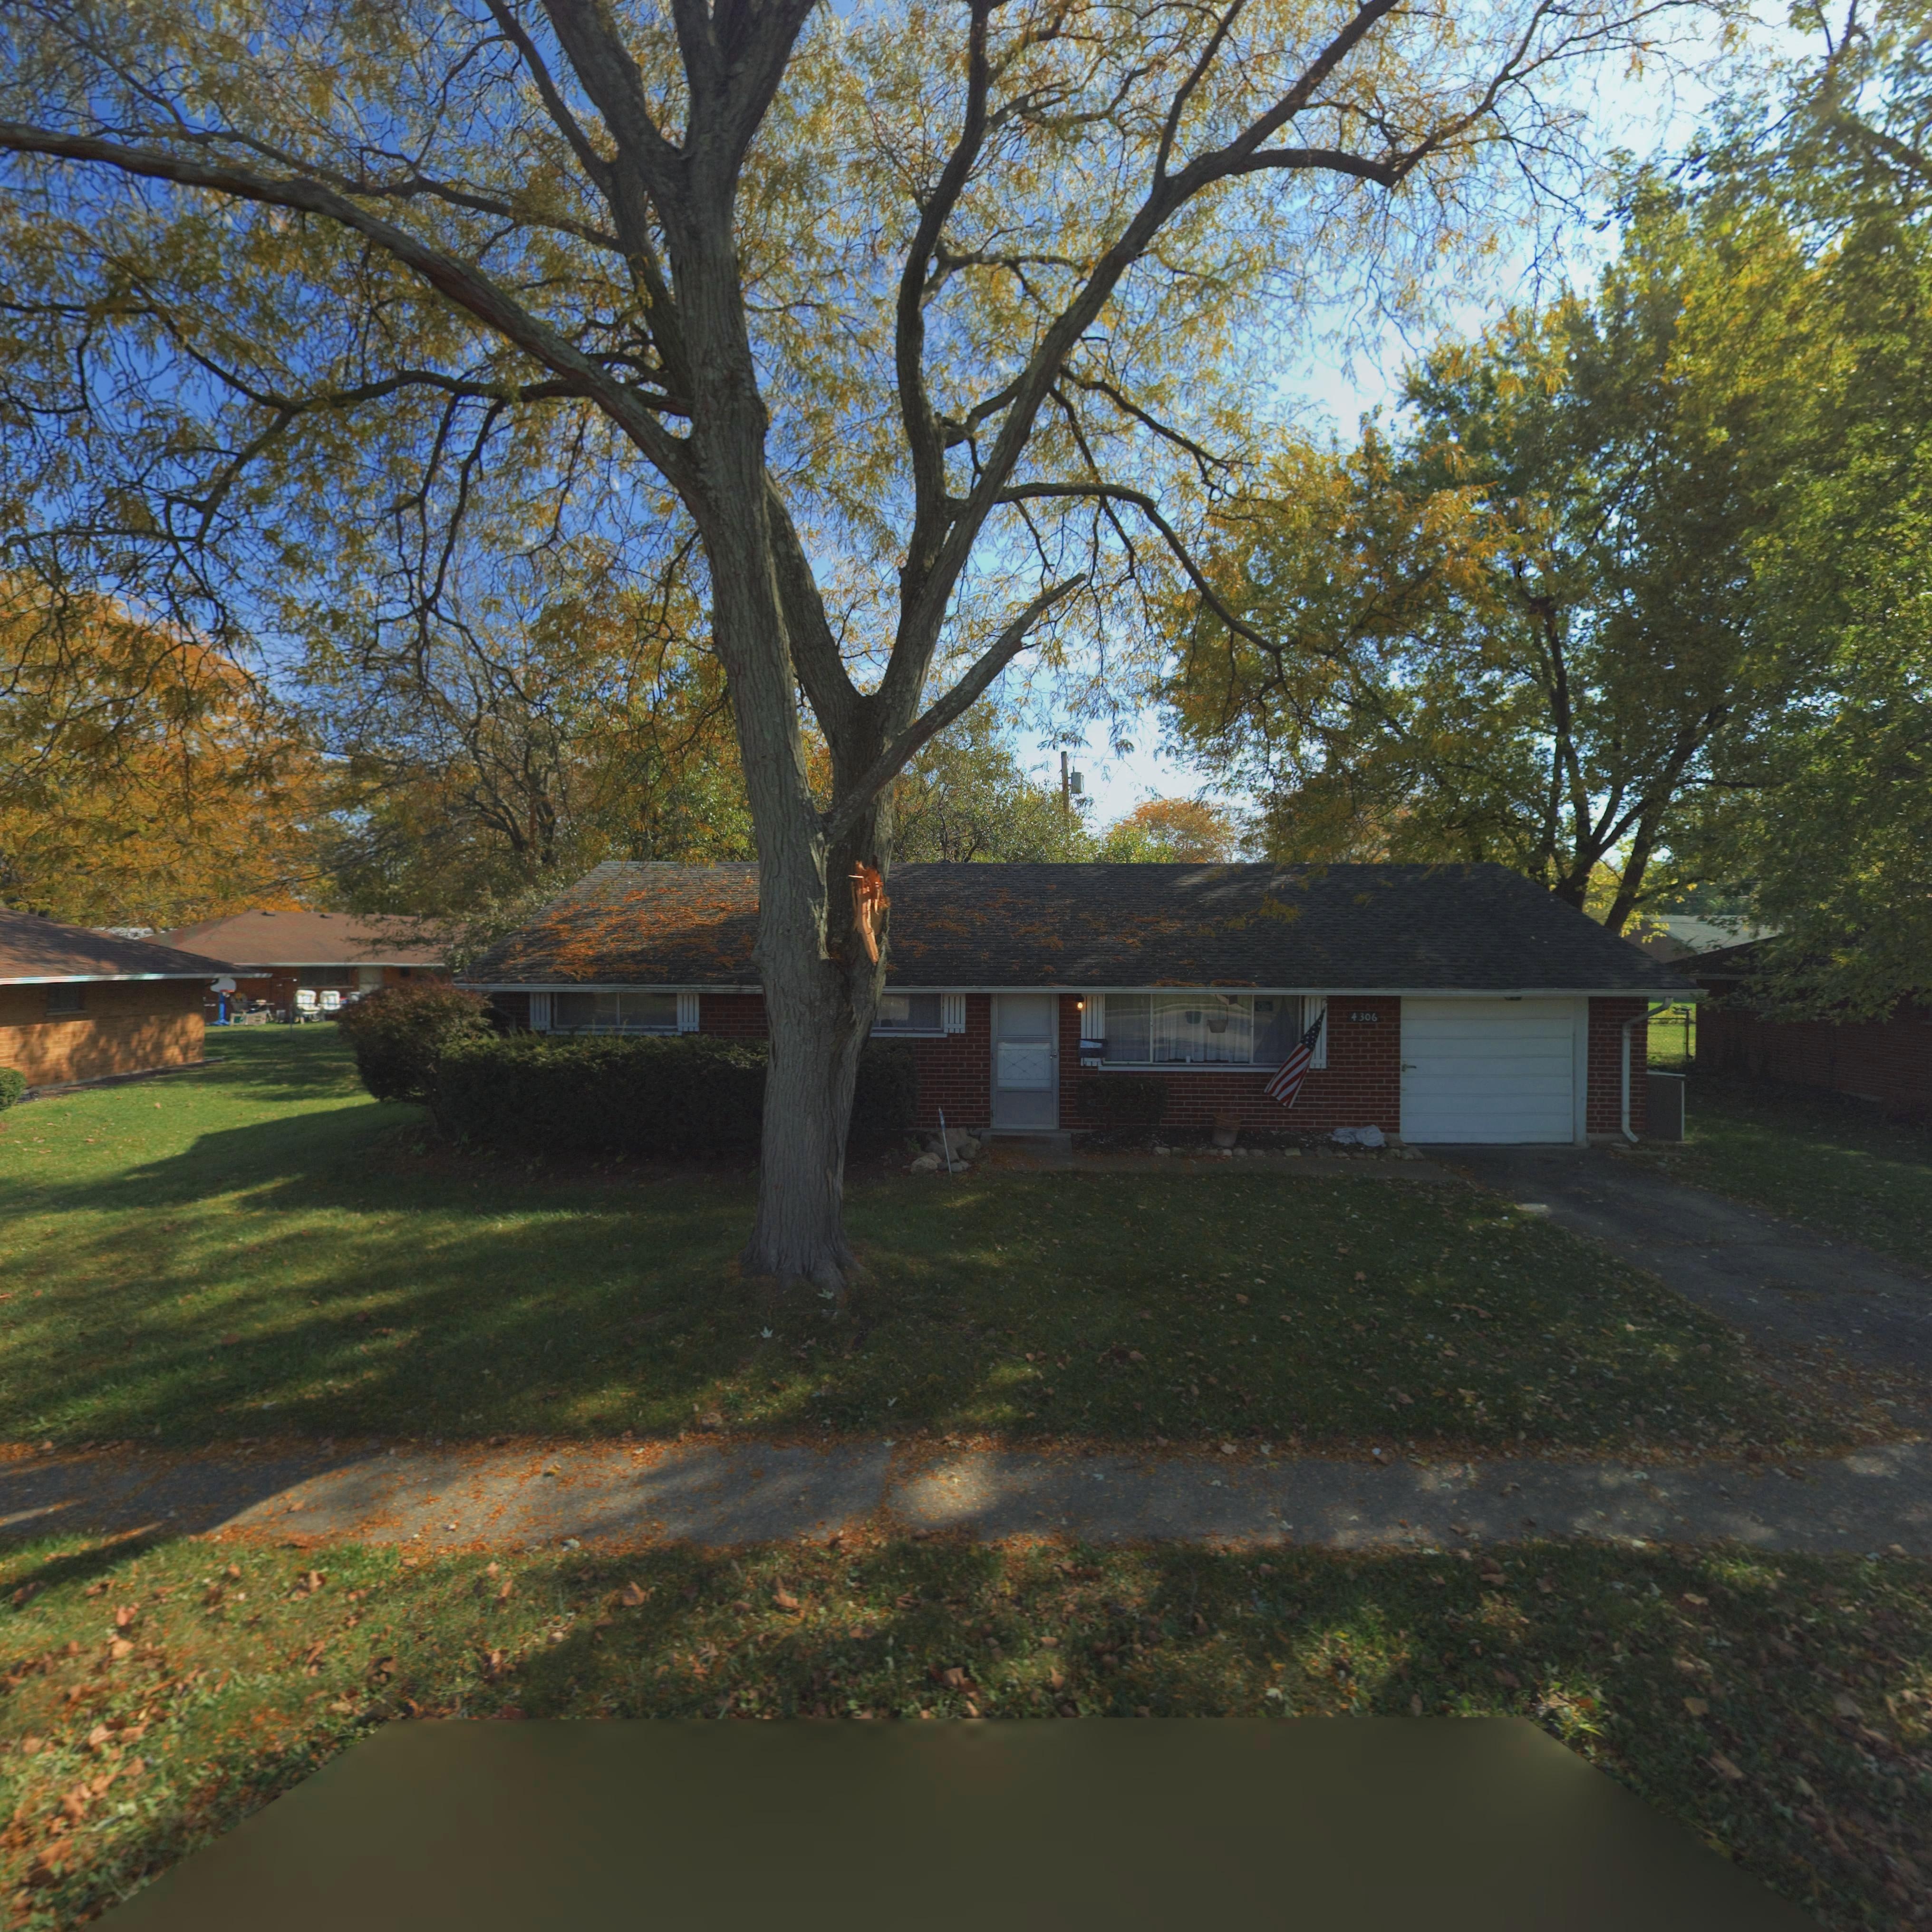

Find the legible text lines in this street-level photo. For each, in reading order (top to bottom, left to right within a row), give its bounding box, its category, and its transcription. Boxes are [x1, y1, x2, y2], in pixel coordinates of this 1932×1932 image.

[1350, 1011, 1379, 1023] StreetNumber: 4306